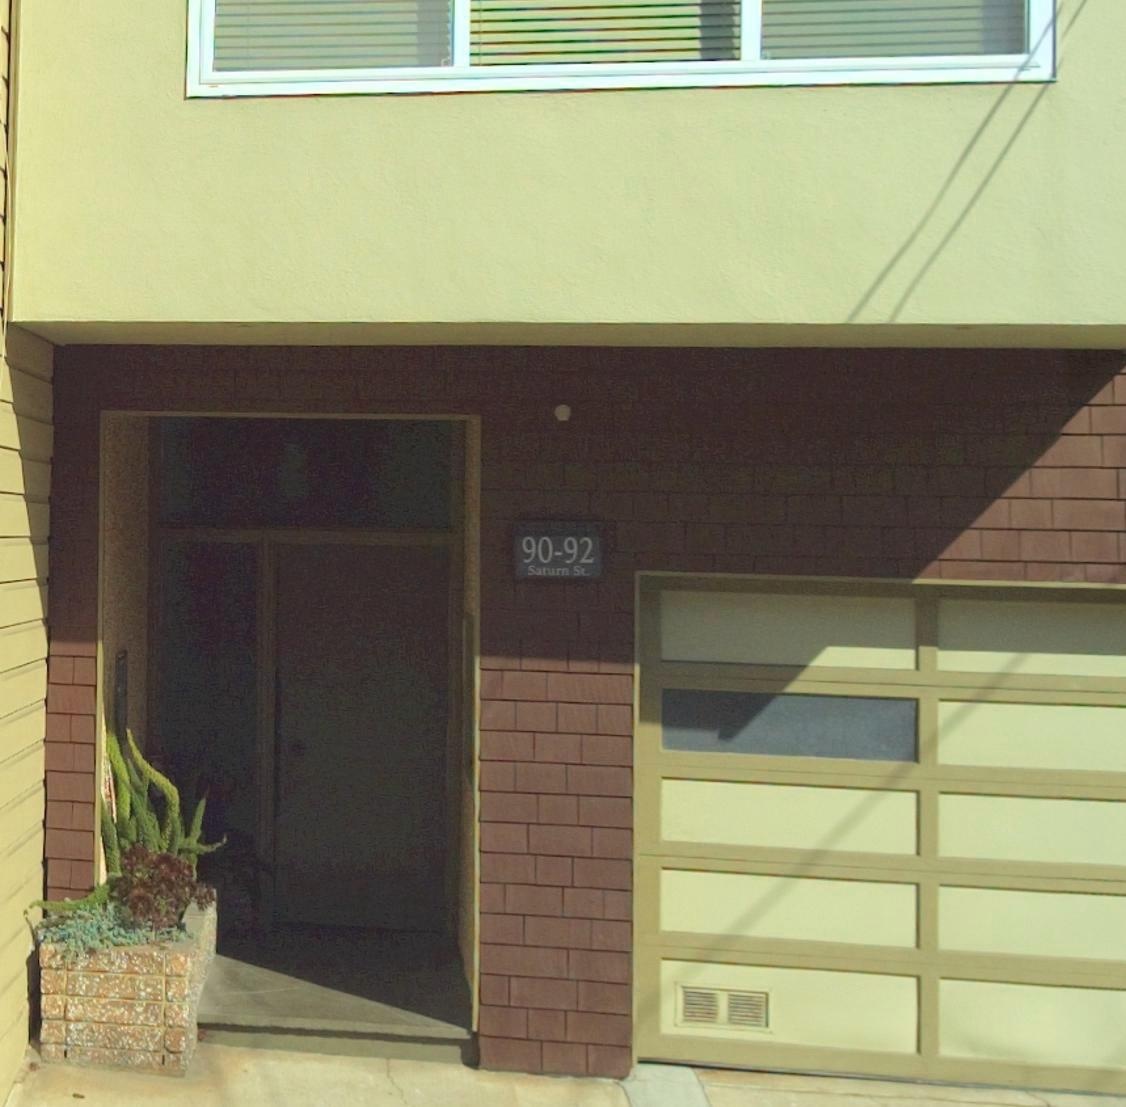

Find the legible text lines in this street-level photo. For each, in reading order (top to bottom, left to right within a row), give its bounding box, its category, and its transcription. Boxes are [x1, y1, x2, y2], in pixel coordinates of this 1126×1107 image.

[519, 534, 554, 565] StreetNumber: 90-92
[560, 536, 595, 565] None: 92
[526, 565, 591, 576] StreetName: Saturn St.